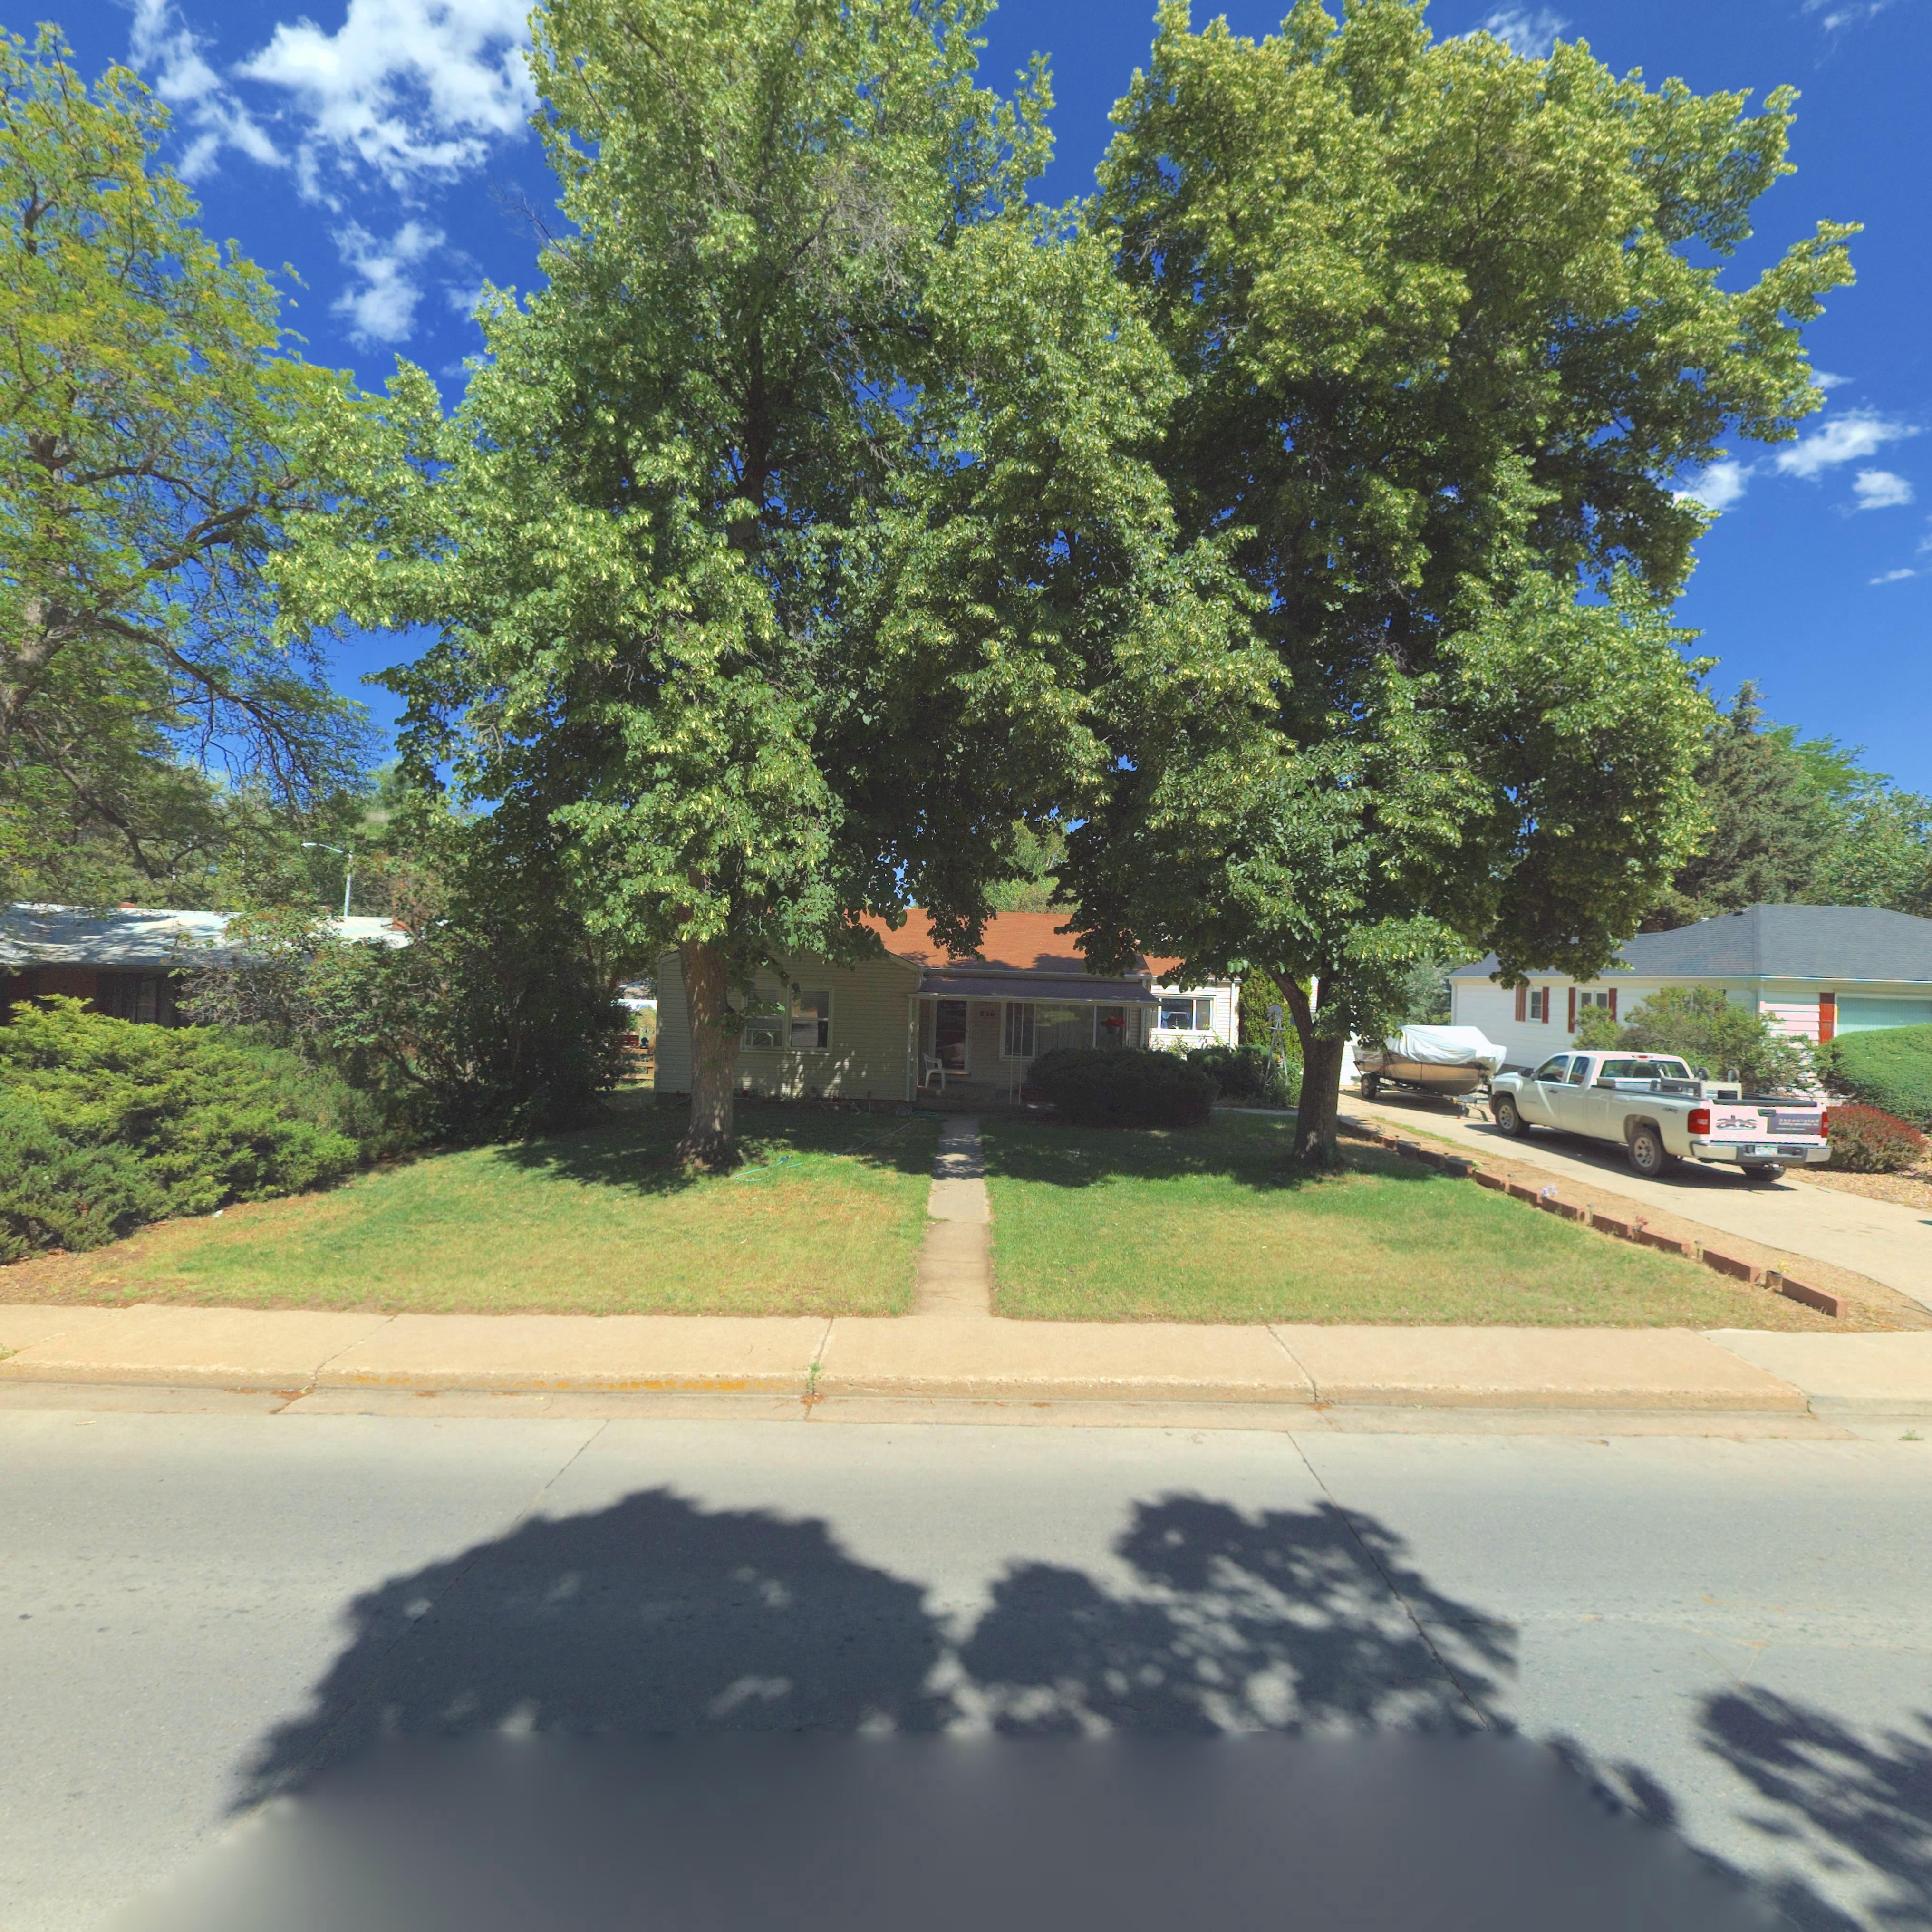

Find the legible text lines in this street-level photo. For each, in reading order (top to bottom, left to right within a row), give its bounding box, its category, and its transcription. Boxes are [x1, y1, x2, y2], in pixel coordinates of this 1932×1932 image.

[980, 1010, 995, 1016] StreetNumber: 826